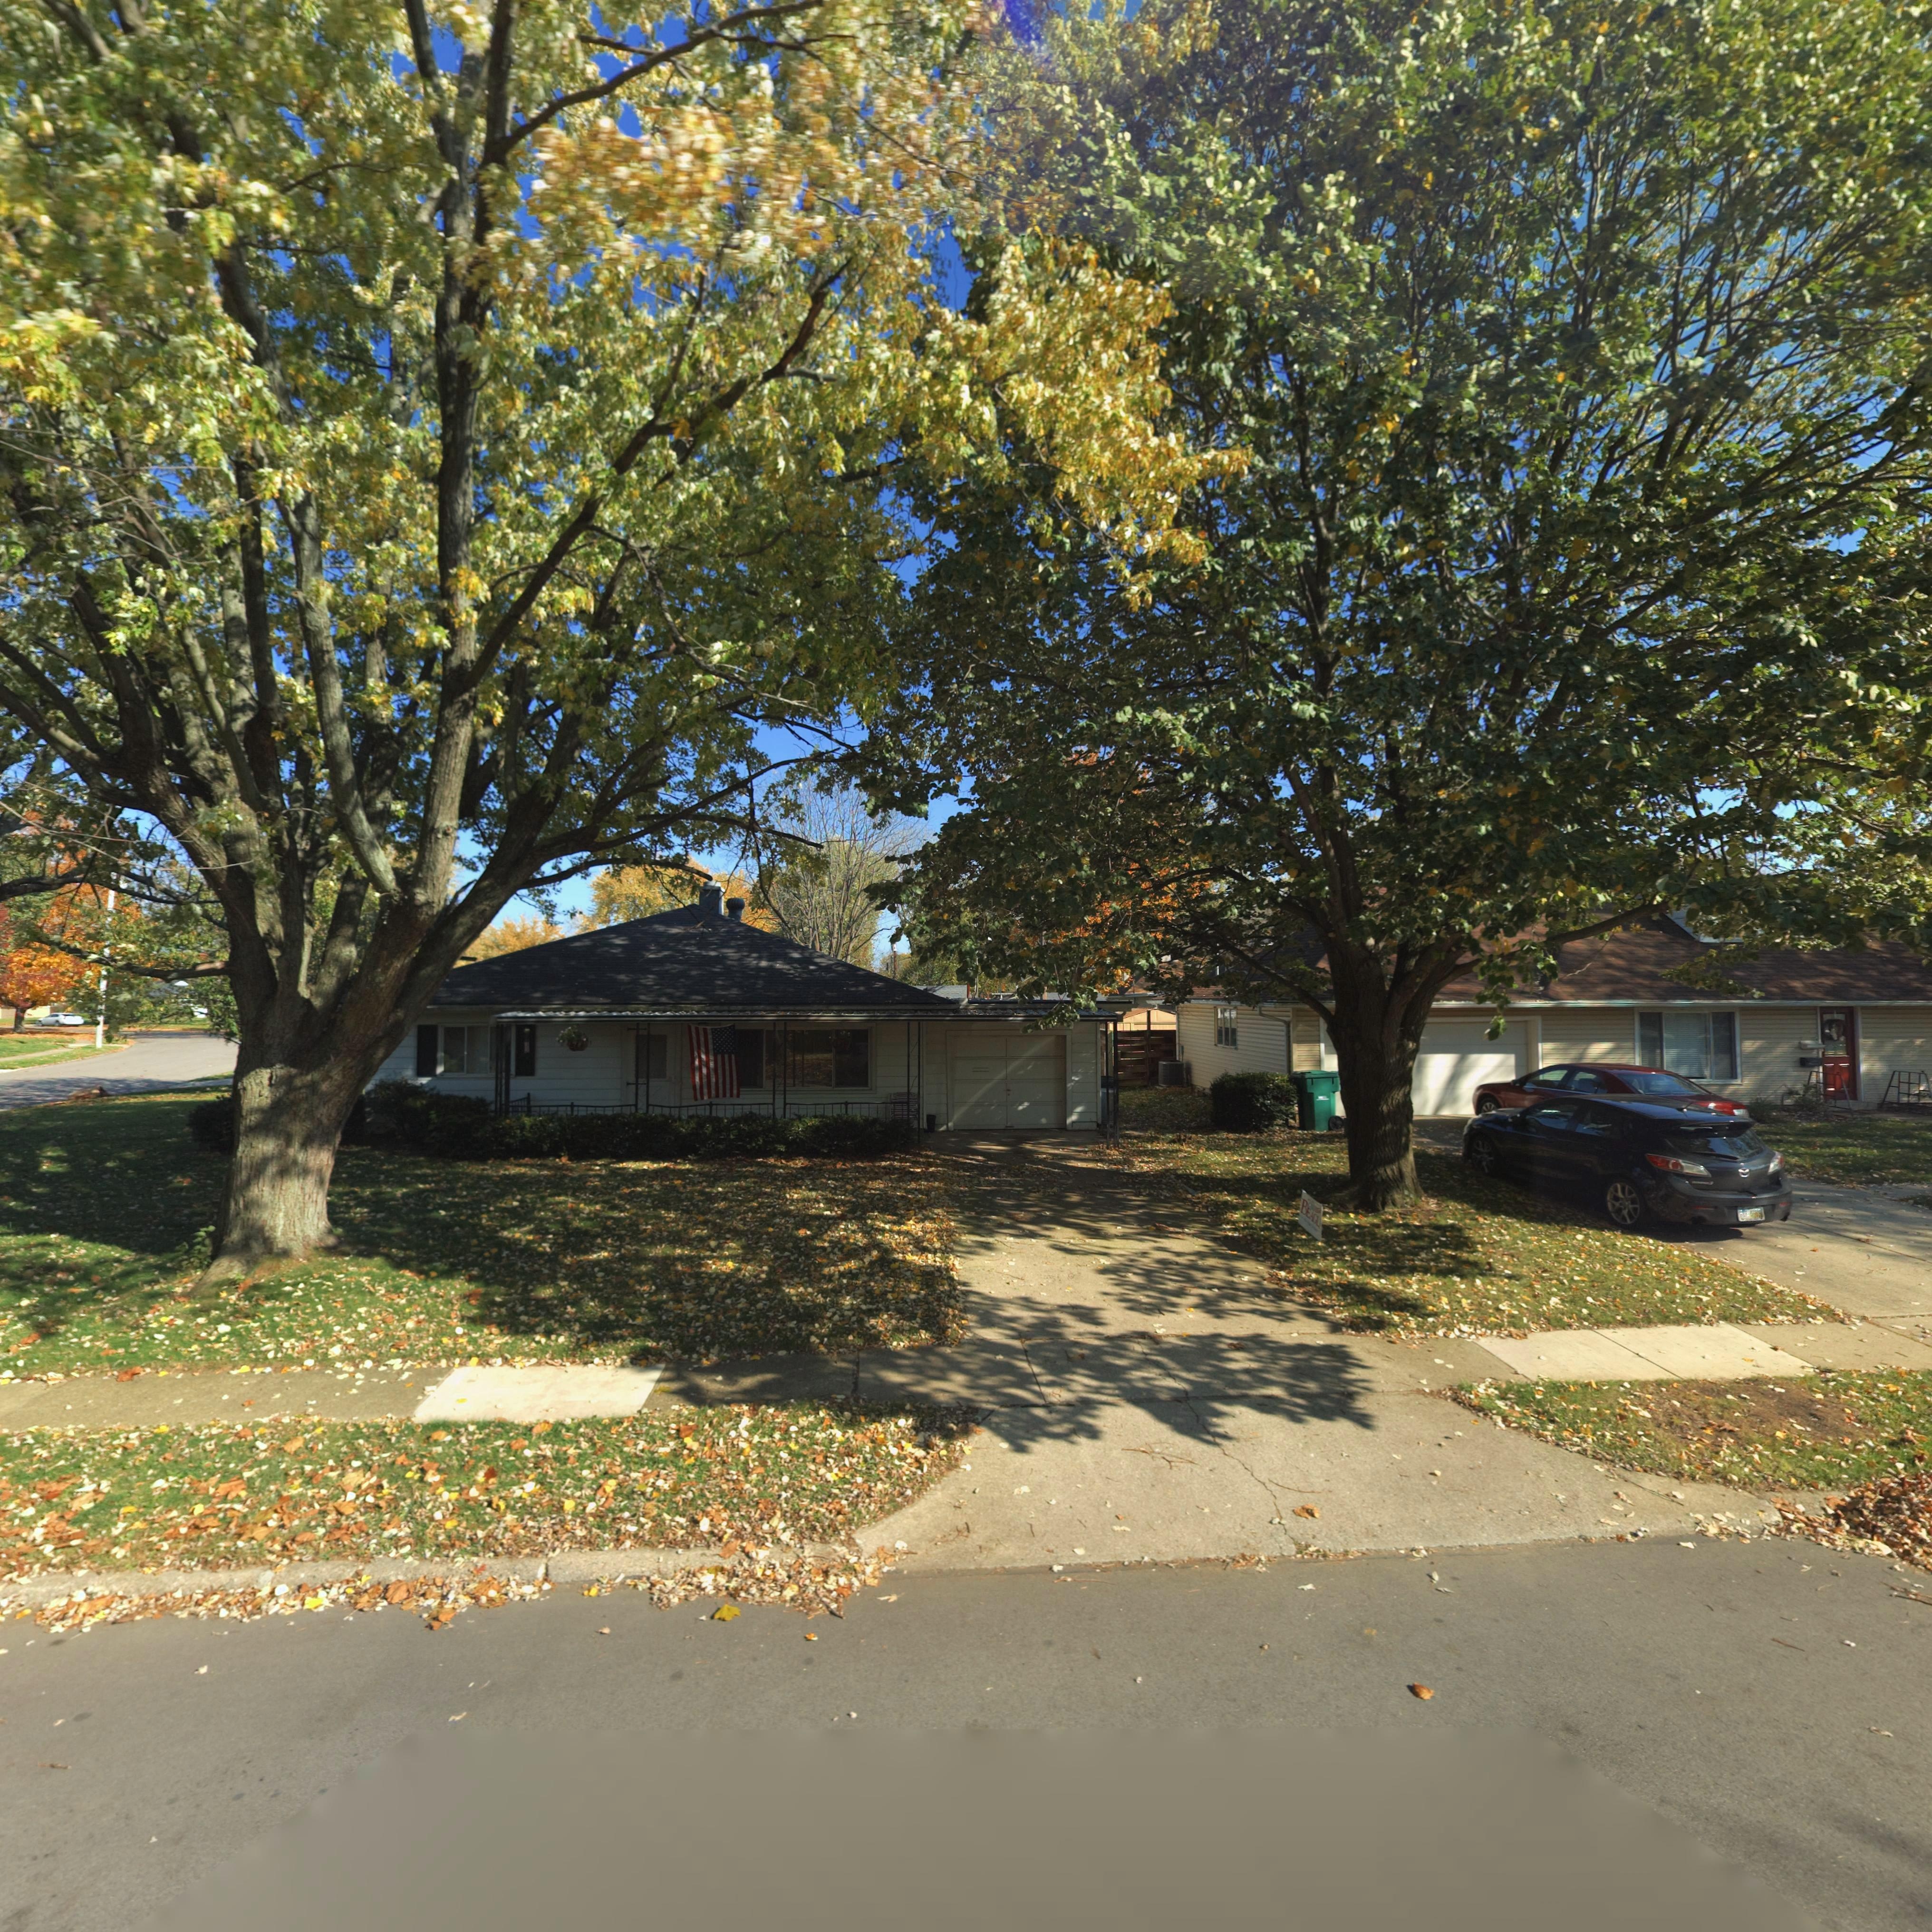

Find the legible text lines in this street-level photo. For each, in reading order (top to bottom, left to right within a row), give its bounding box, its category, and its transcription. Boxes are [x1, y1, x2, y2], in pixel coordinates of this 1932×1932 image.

[1299, 1196, 1322, 1231] None: BEAGL